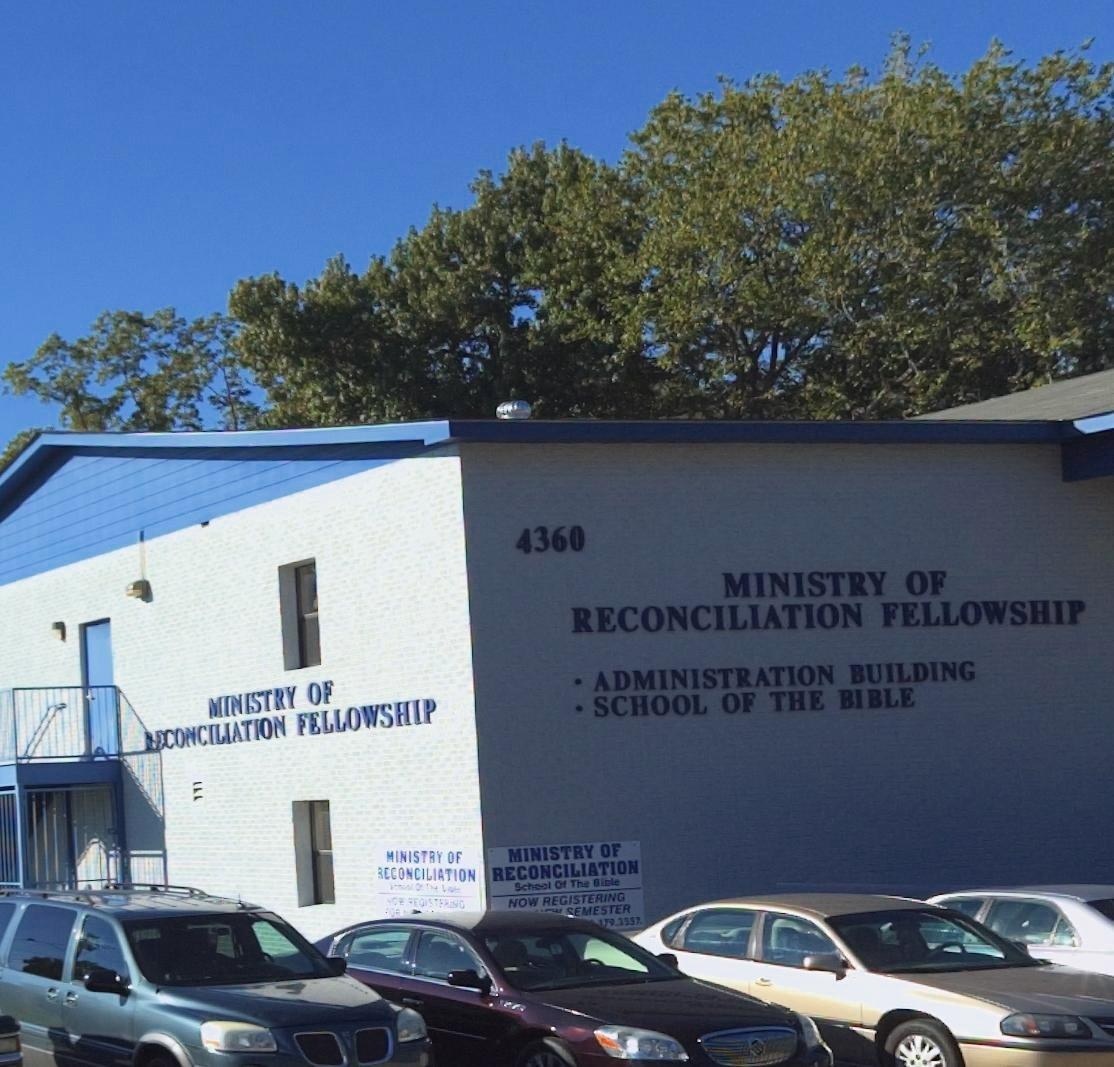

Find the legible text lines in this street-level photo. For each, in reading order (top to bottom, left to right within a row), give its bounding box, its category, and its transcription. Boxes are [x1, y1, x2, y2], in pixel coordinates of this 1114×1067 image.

[514, 521, 587, 557] StreetNumber: 4360
[718, 567, 950, 601] BusinessName: MINISTRY OF
[568, 596, 1089, 637] BusinessName: RECONCILIATION FELLOWSHIP
[589, 658, 978, 695] None: ADMINISTRATION BUILDING
[206, 675, 337, 722] BusinessName: MINISTRY OF
[590, 684, 920, 720] None: SCHOOL OF THE BIBLE
[141, 693, 440, 754] BusinessName: RECONCILIATION FELLOWSHIP
[384, 847, 465, 866] BusinessName: MINISTRY OF
[376, 863, 478, 884] BusinessName: RECONCILIATION
[505, 840, 624, 865] BusinessName: MINISTRY OF
[489, 856, 641, 884] BusinessName: RECONCILIATION
[505, 888, 628, 911] None: NOW REGISTERING
[512, 874, 622, 894] None: School Of The Bible
[572, 902, 633, 918] None: EMESTER